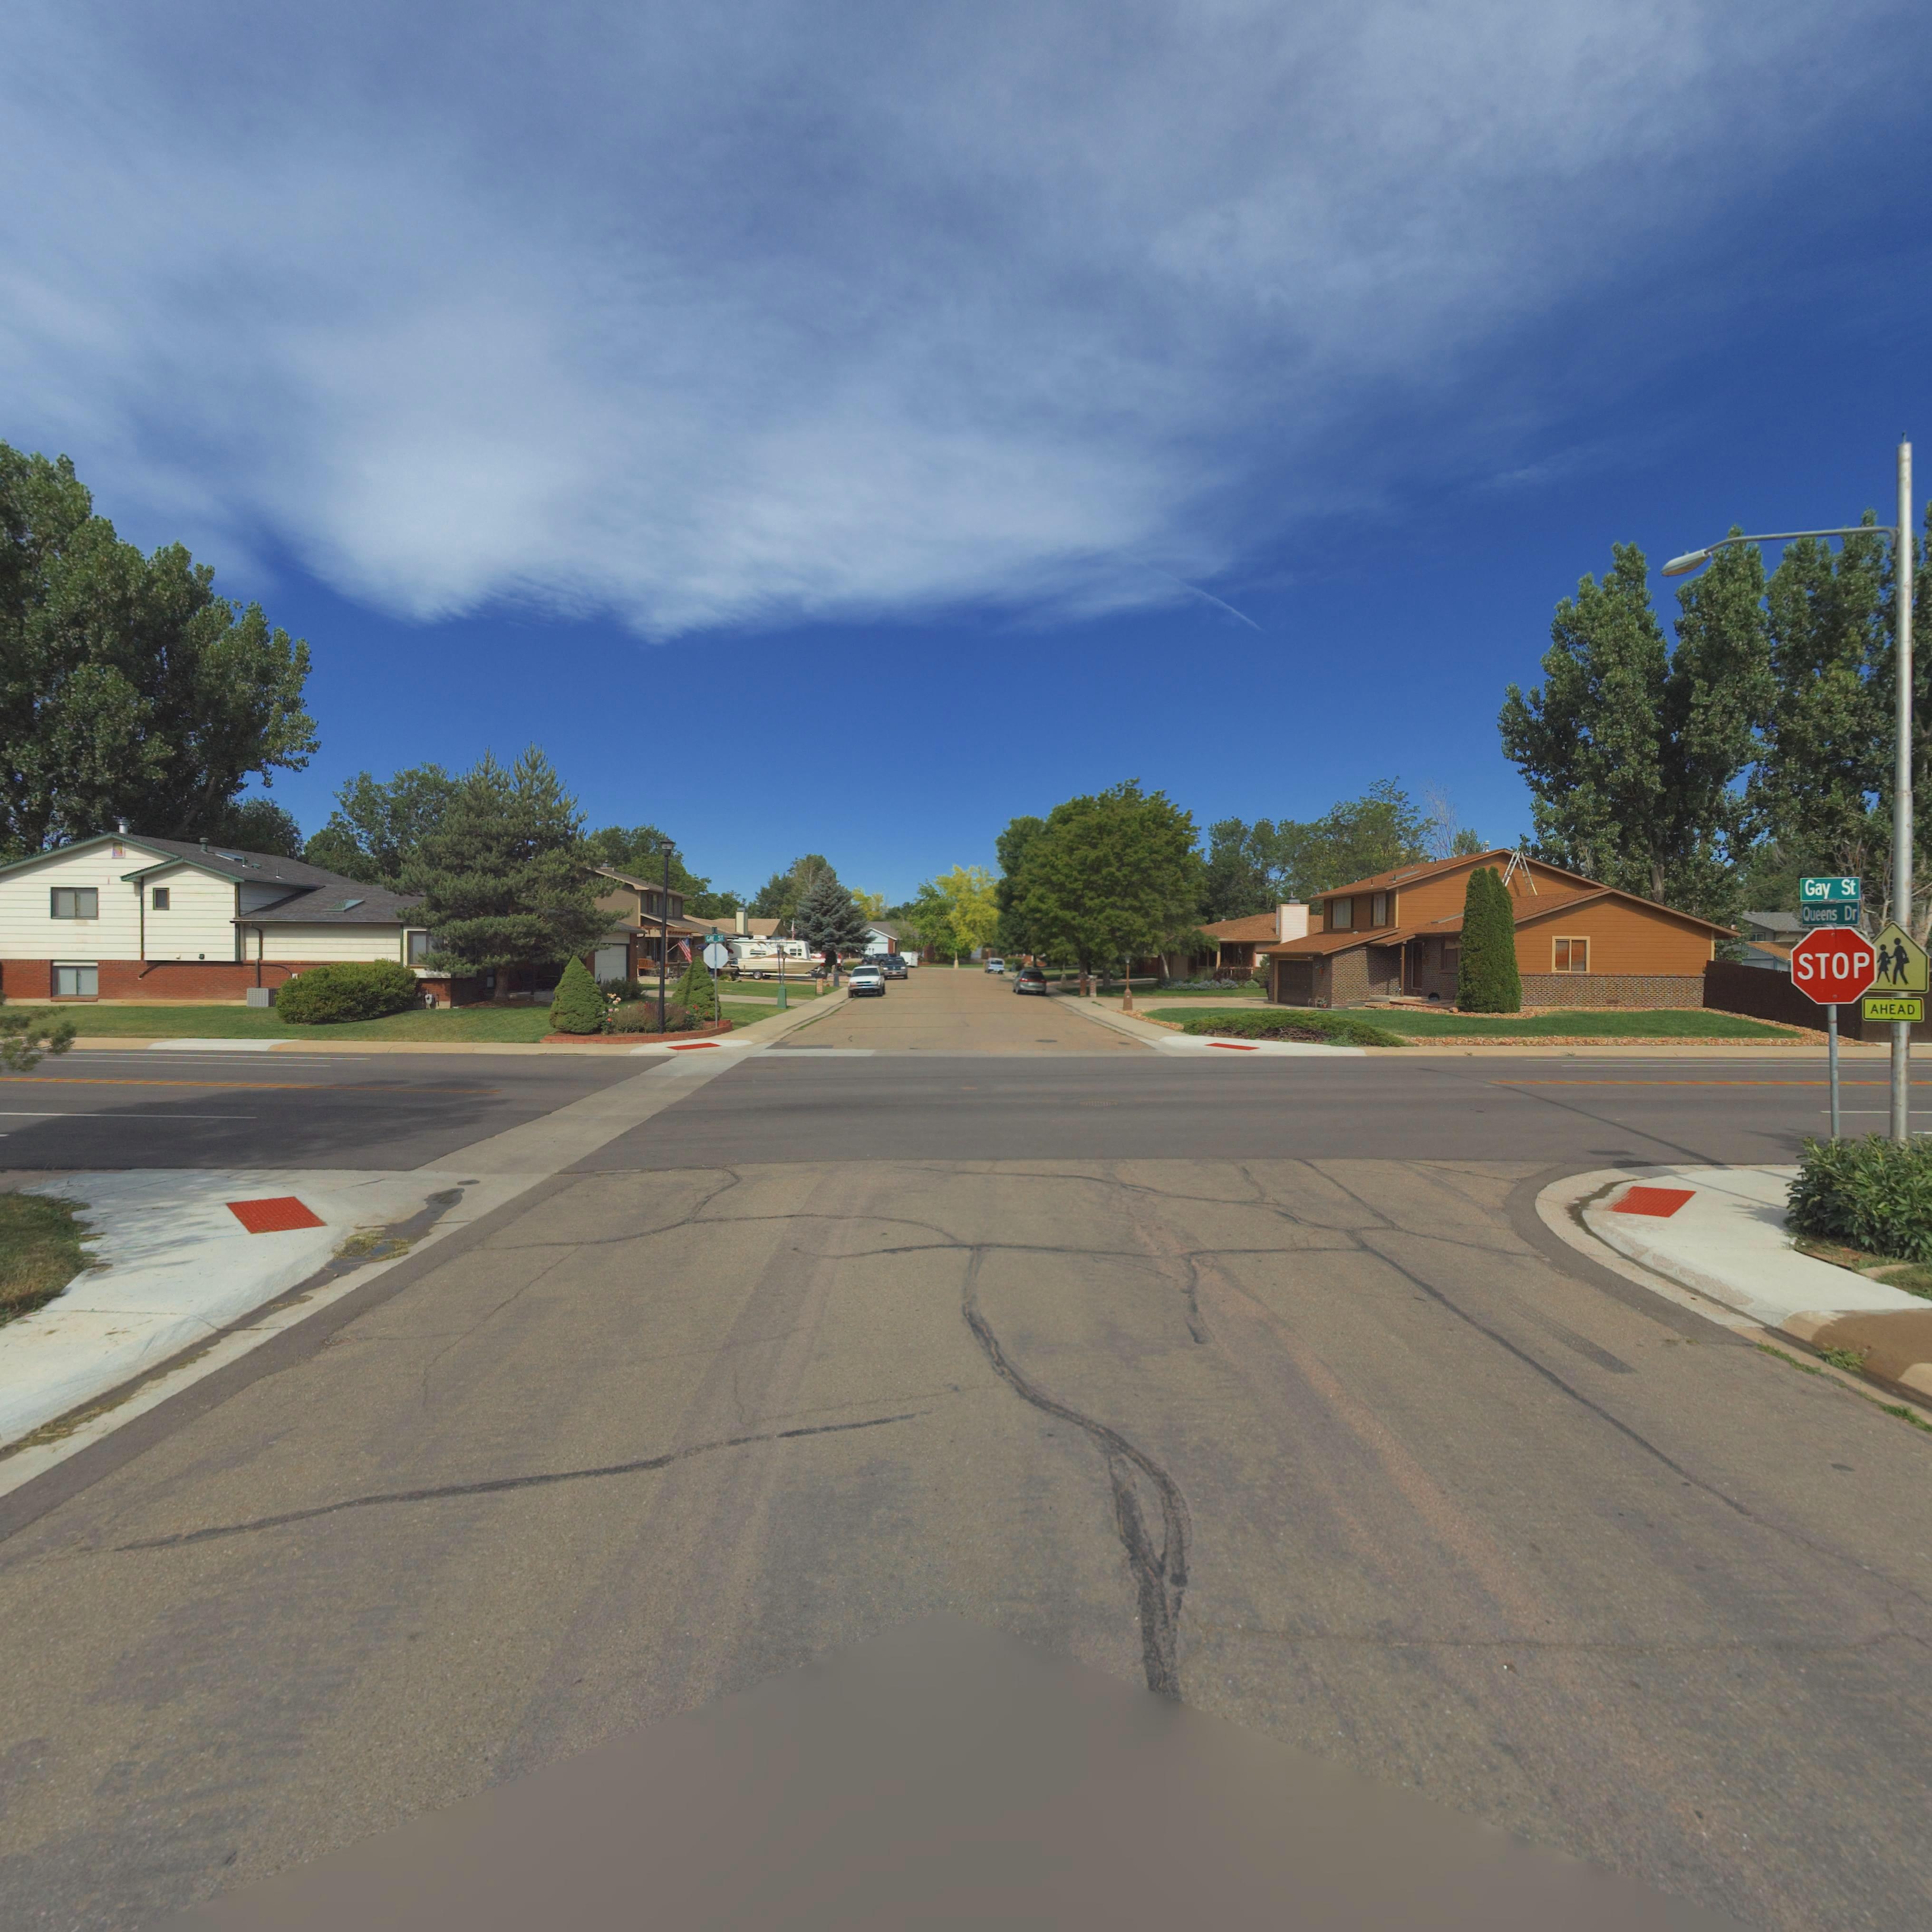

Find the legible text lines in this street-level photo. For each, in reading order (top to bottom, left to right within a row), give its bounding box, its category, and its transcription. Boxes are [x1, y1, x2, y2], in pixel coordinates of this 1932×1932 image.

[1804, 878, 1856, 899] StreetName: Gay St
[1803, 905, 1857, 922] StreetName: Queens Dr
[705, 935, 724, 942] StreetName: GAY ST